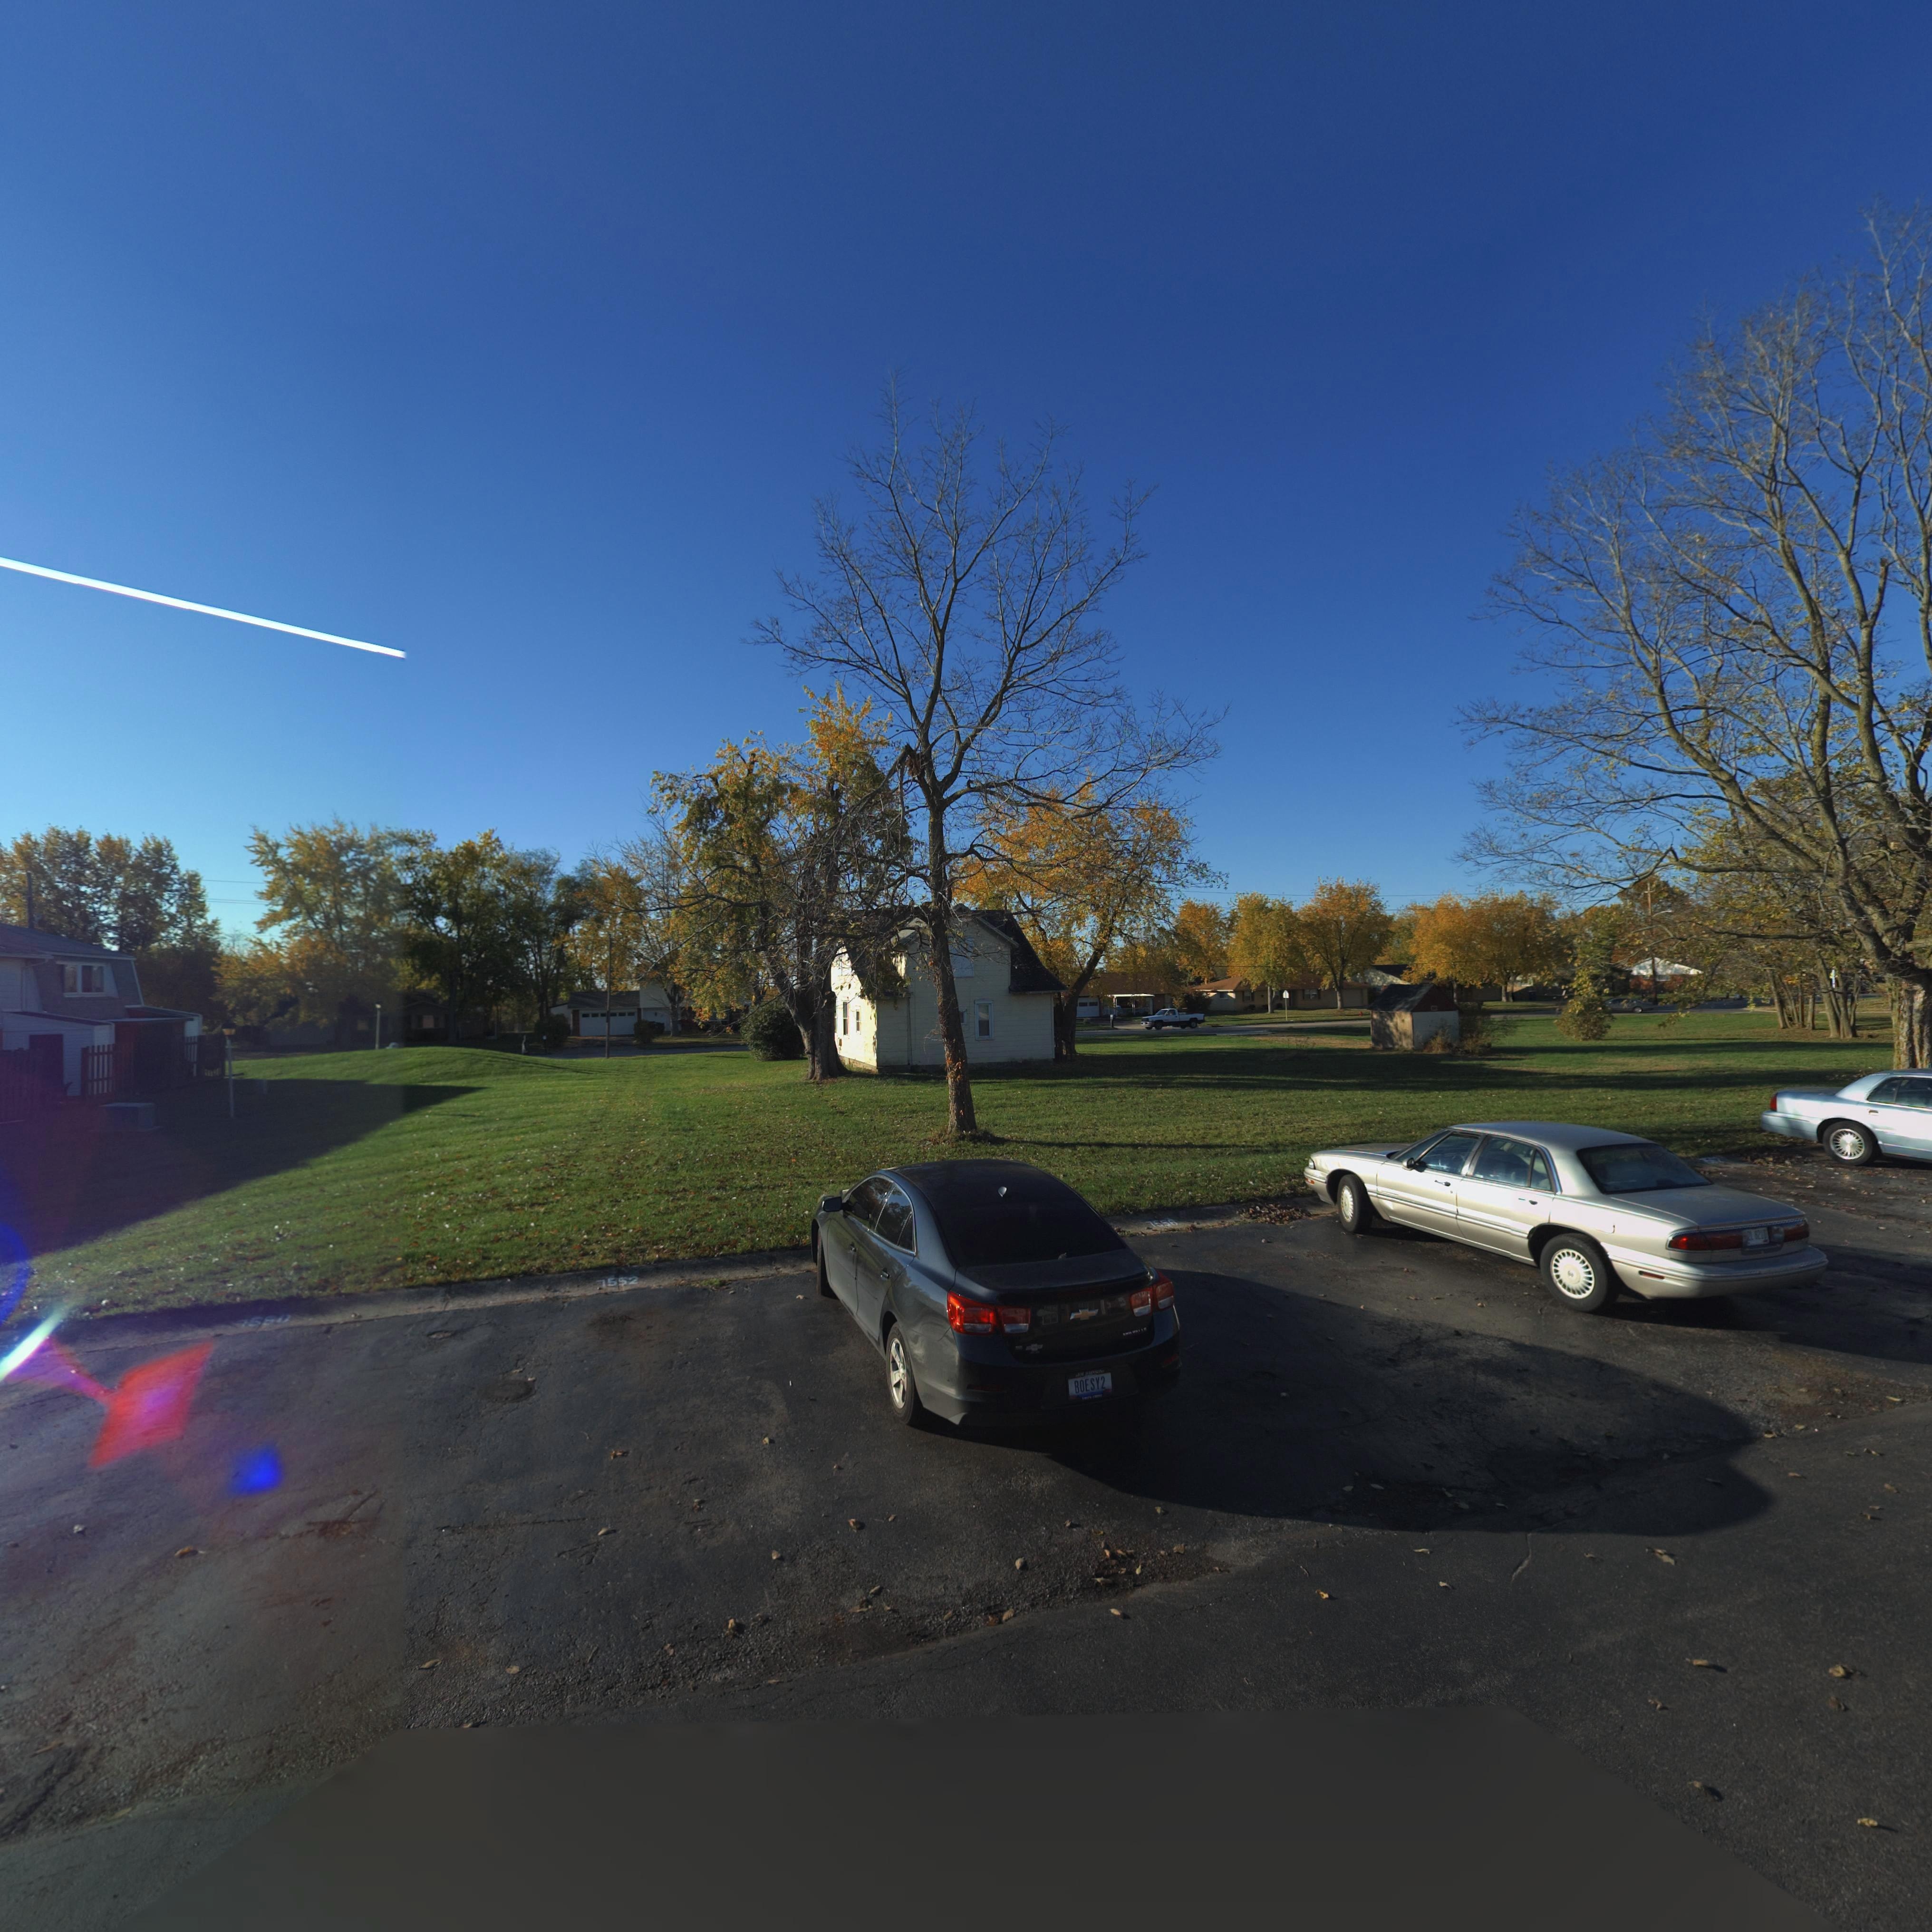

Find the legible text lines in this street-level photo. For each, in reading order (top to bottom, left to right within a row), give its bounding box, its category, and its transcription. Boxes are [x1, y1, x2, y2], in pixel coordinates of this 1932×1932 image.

[1142, 1217, 1179, 1229] StreetNumber: 7556
[594, 1275, 640, 1289] StreetNumber: 7552
[234, 1312, 292, 1330] StreetNumber: 7550
[1073, 1374, 1107, 1394] None: BOESY2